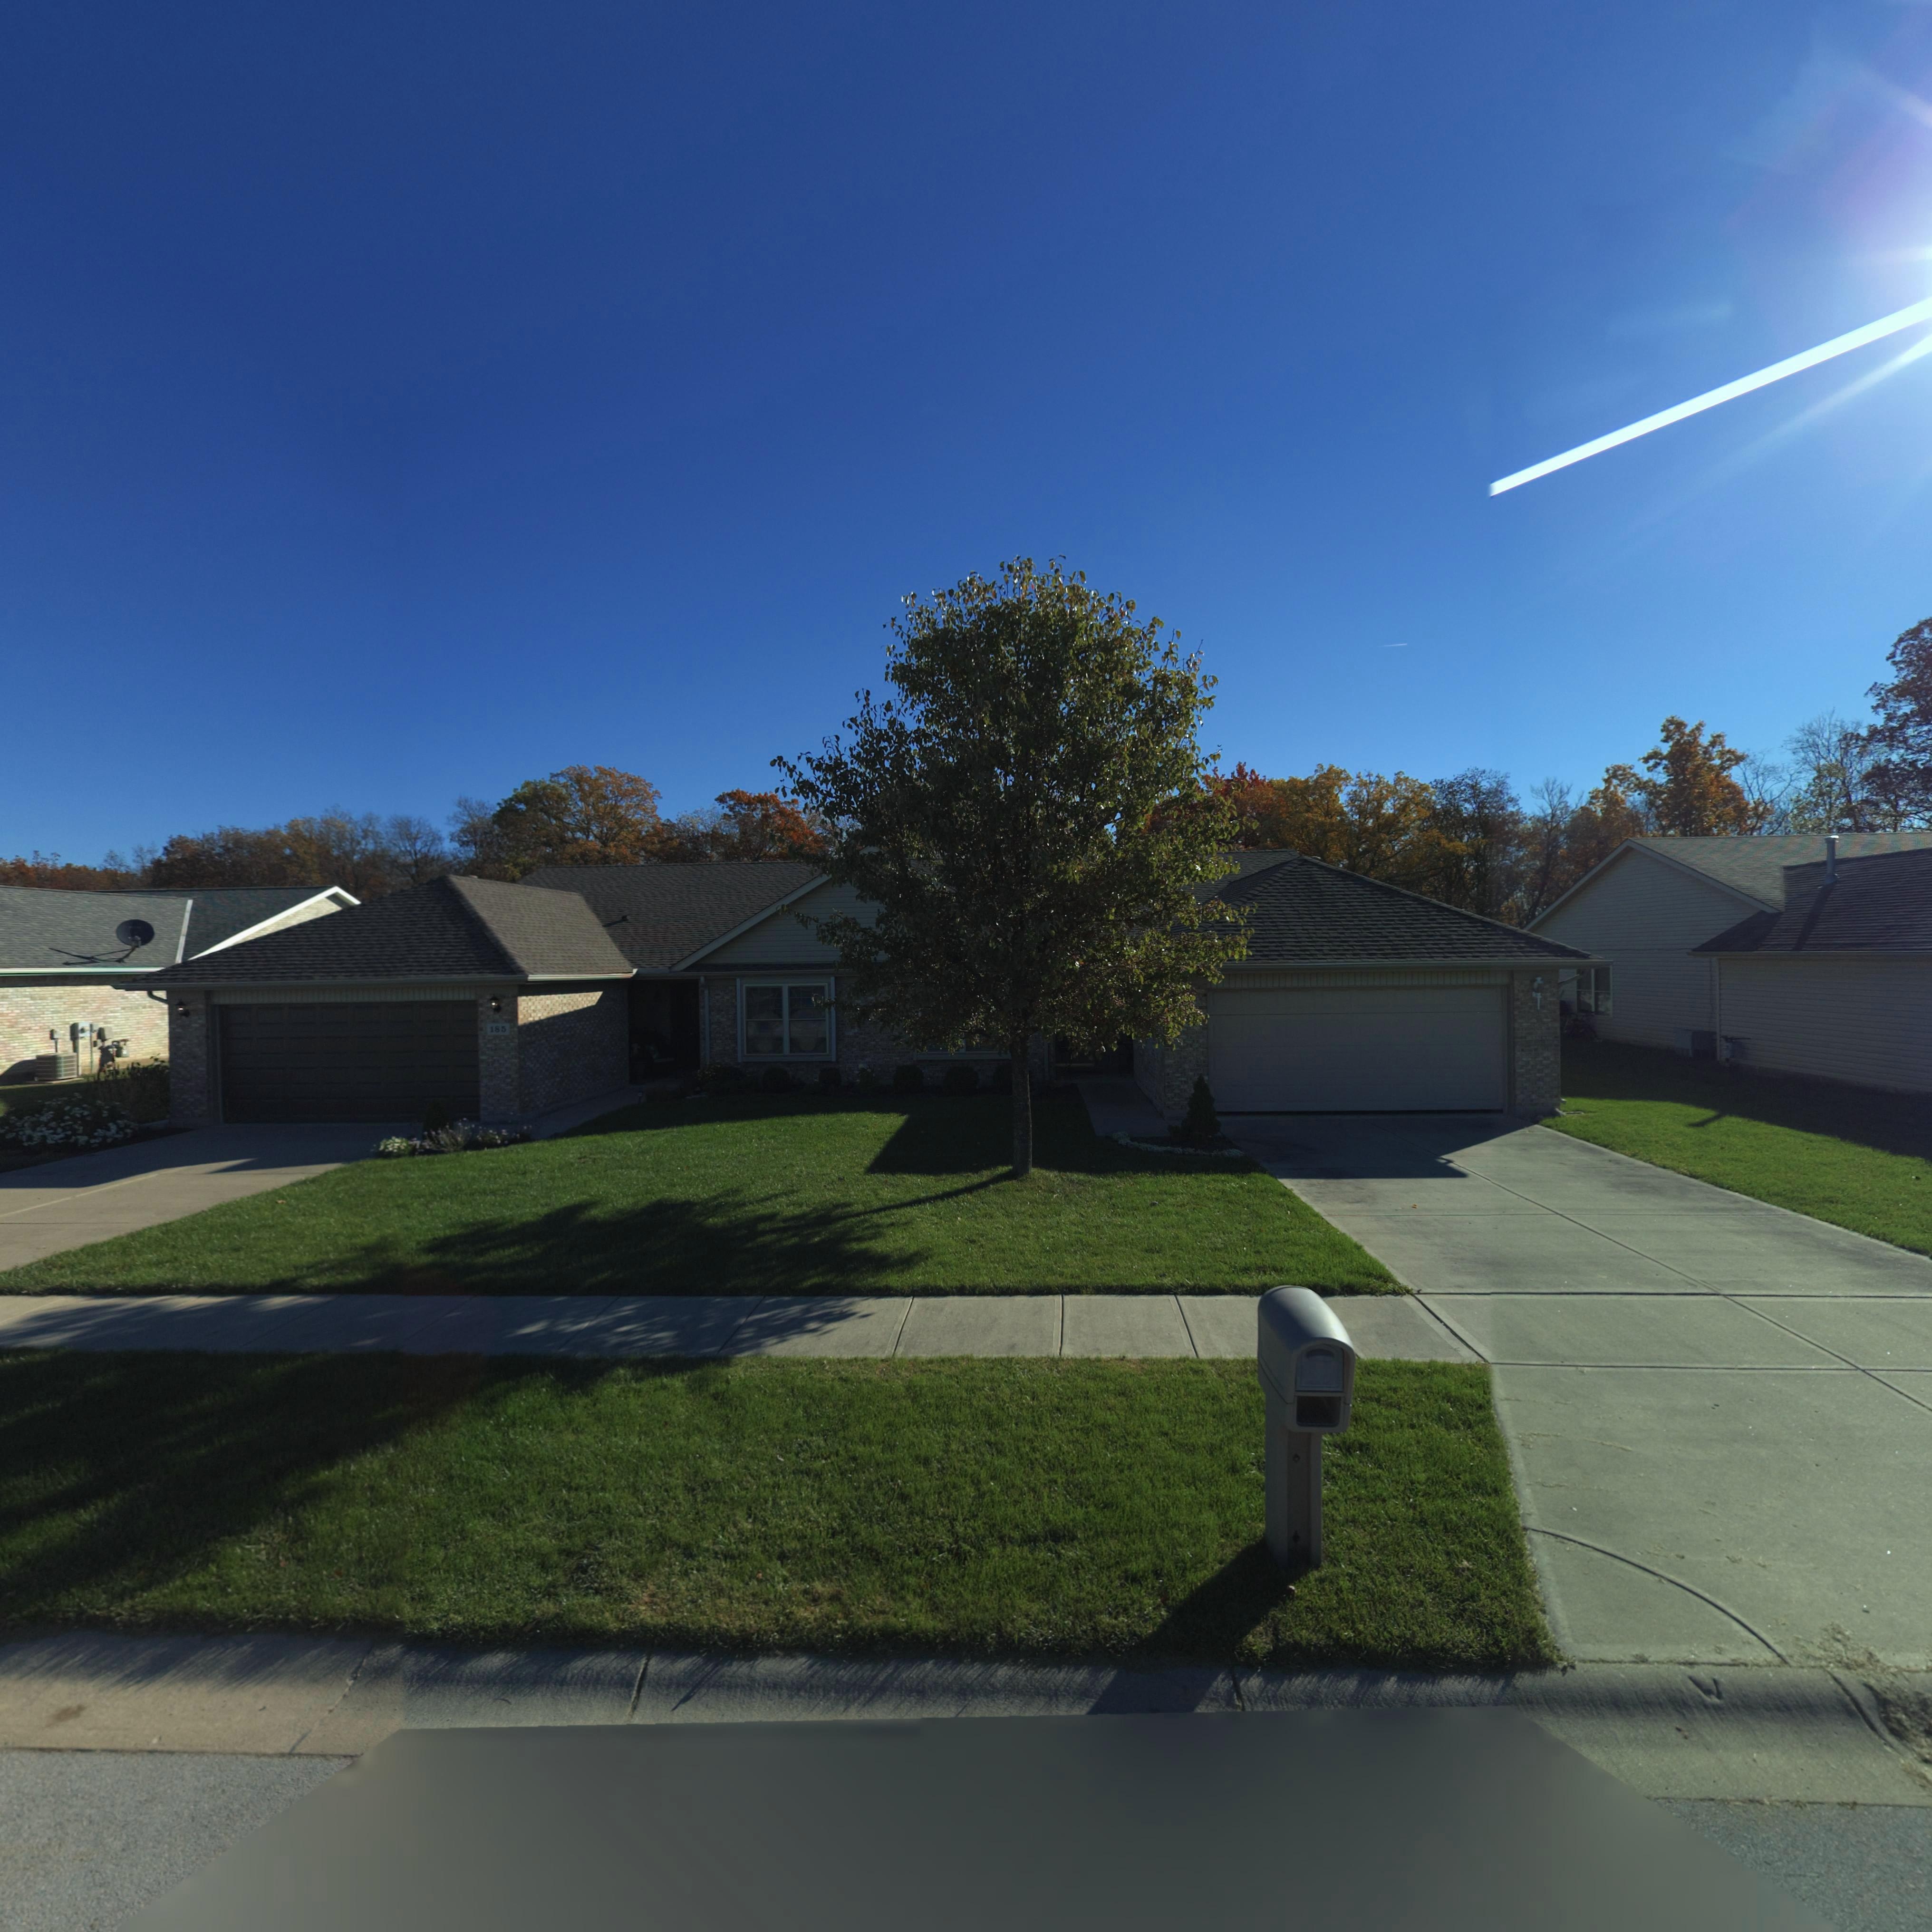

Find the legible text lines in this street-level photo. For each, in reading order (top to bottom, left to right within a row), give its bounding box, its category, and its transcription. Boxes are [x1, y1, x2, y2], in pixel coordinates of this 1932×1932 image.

[489, 1025, 508, 1034] StreetNumber: 185